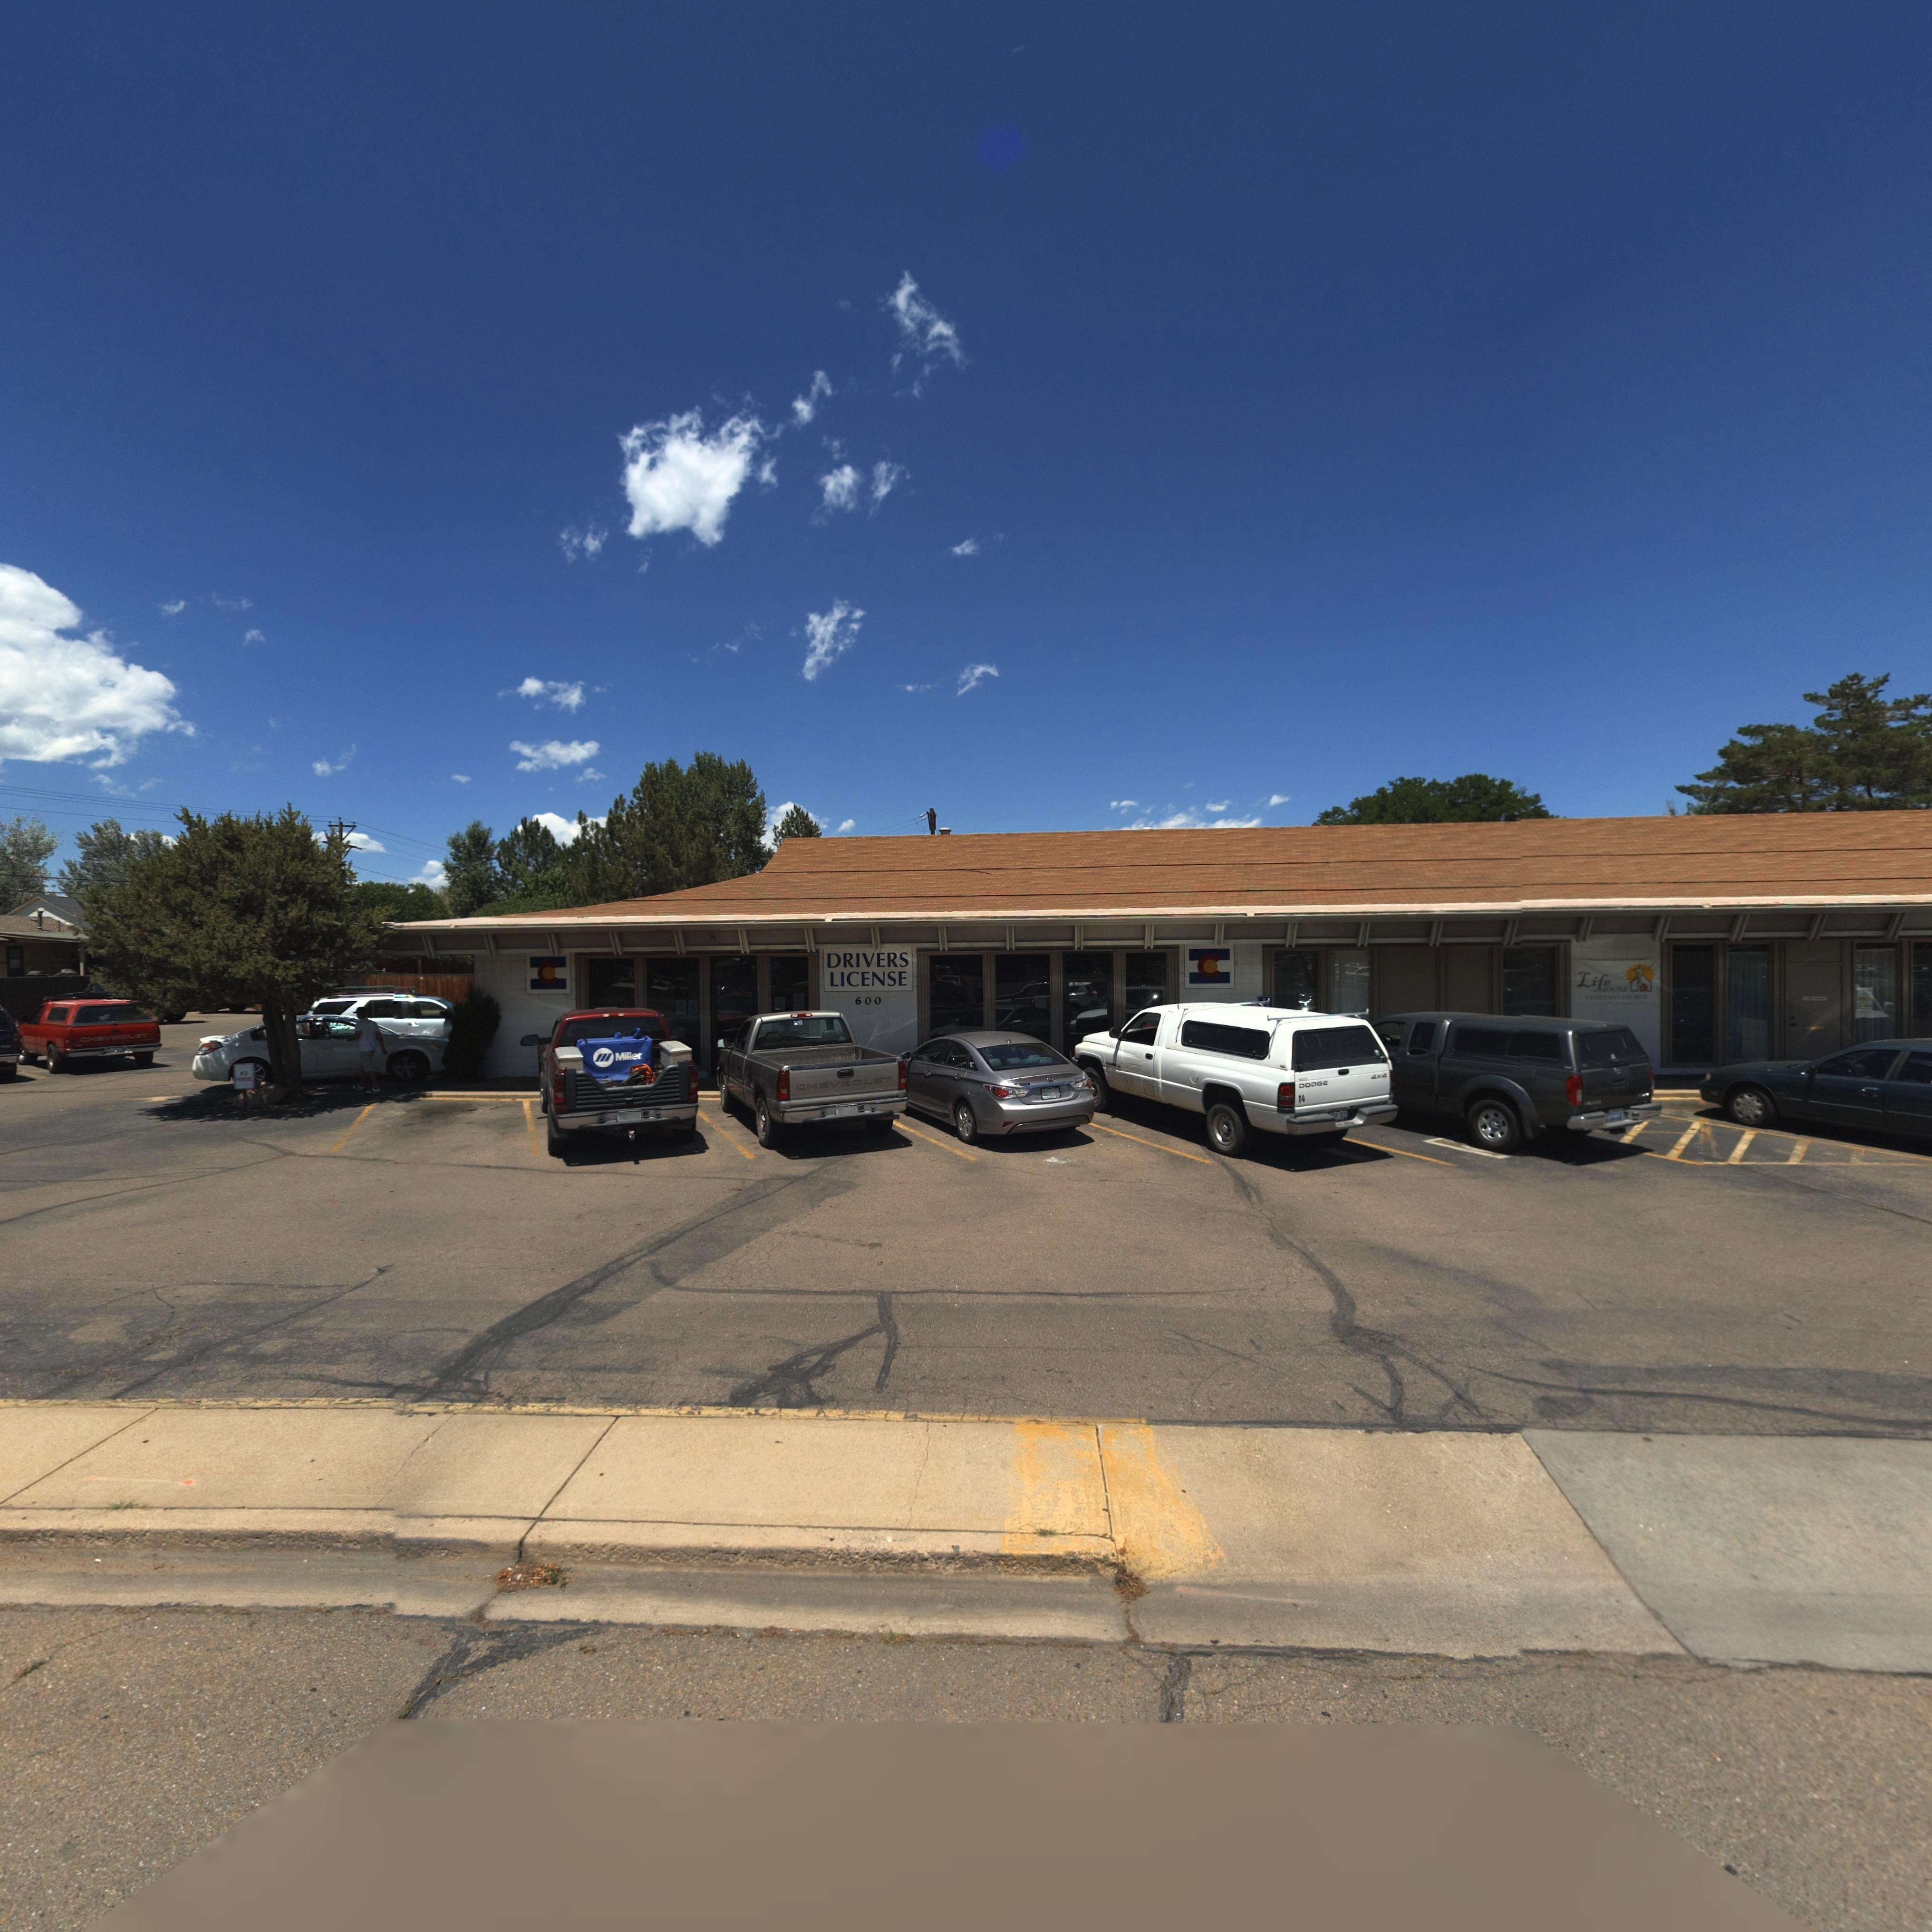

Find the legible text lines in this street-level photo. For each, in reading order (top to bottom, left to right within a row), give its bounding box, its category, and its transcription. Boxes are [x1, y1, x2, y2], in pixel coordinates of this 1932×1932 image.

[826, 951, 909, 968] BusinessName: DRIVERS
[829, 970, 907, 986] BusinessName: LICENSE
[1576, 972, 1611, 988] BusinessName: Life
[854, 995, 882, 1005] StreetNumber: 600
[1603, 985, 1628, 993] BusinessName: *O*SE
[1585, 994, 1647, 1000] BusinessName: CO****T C****